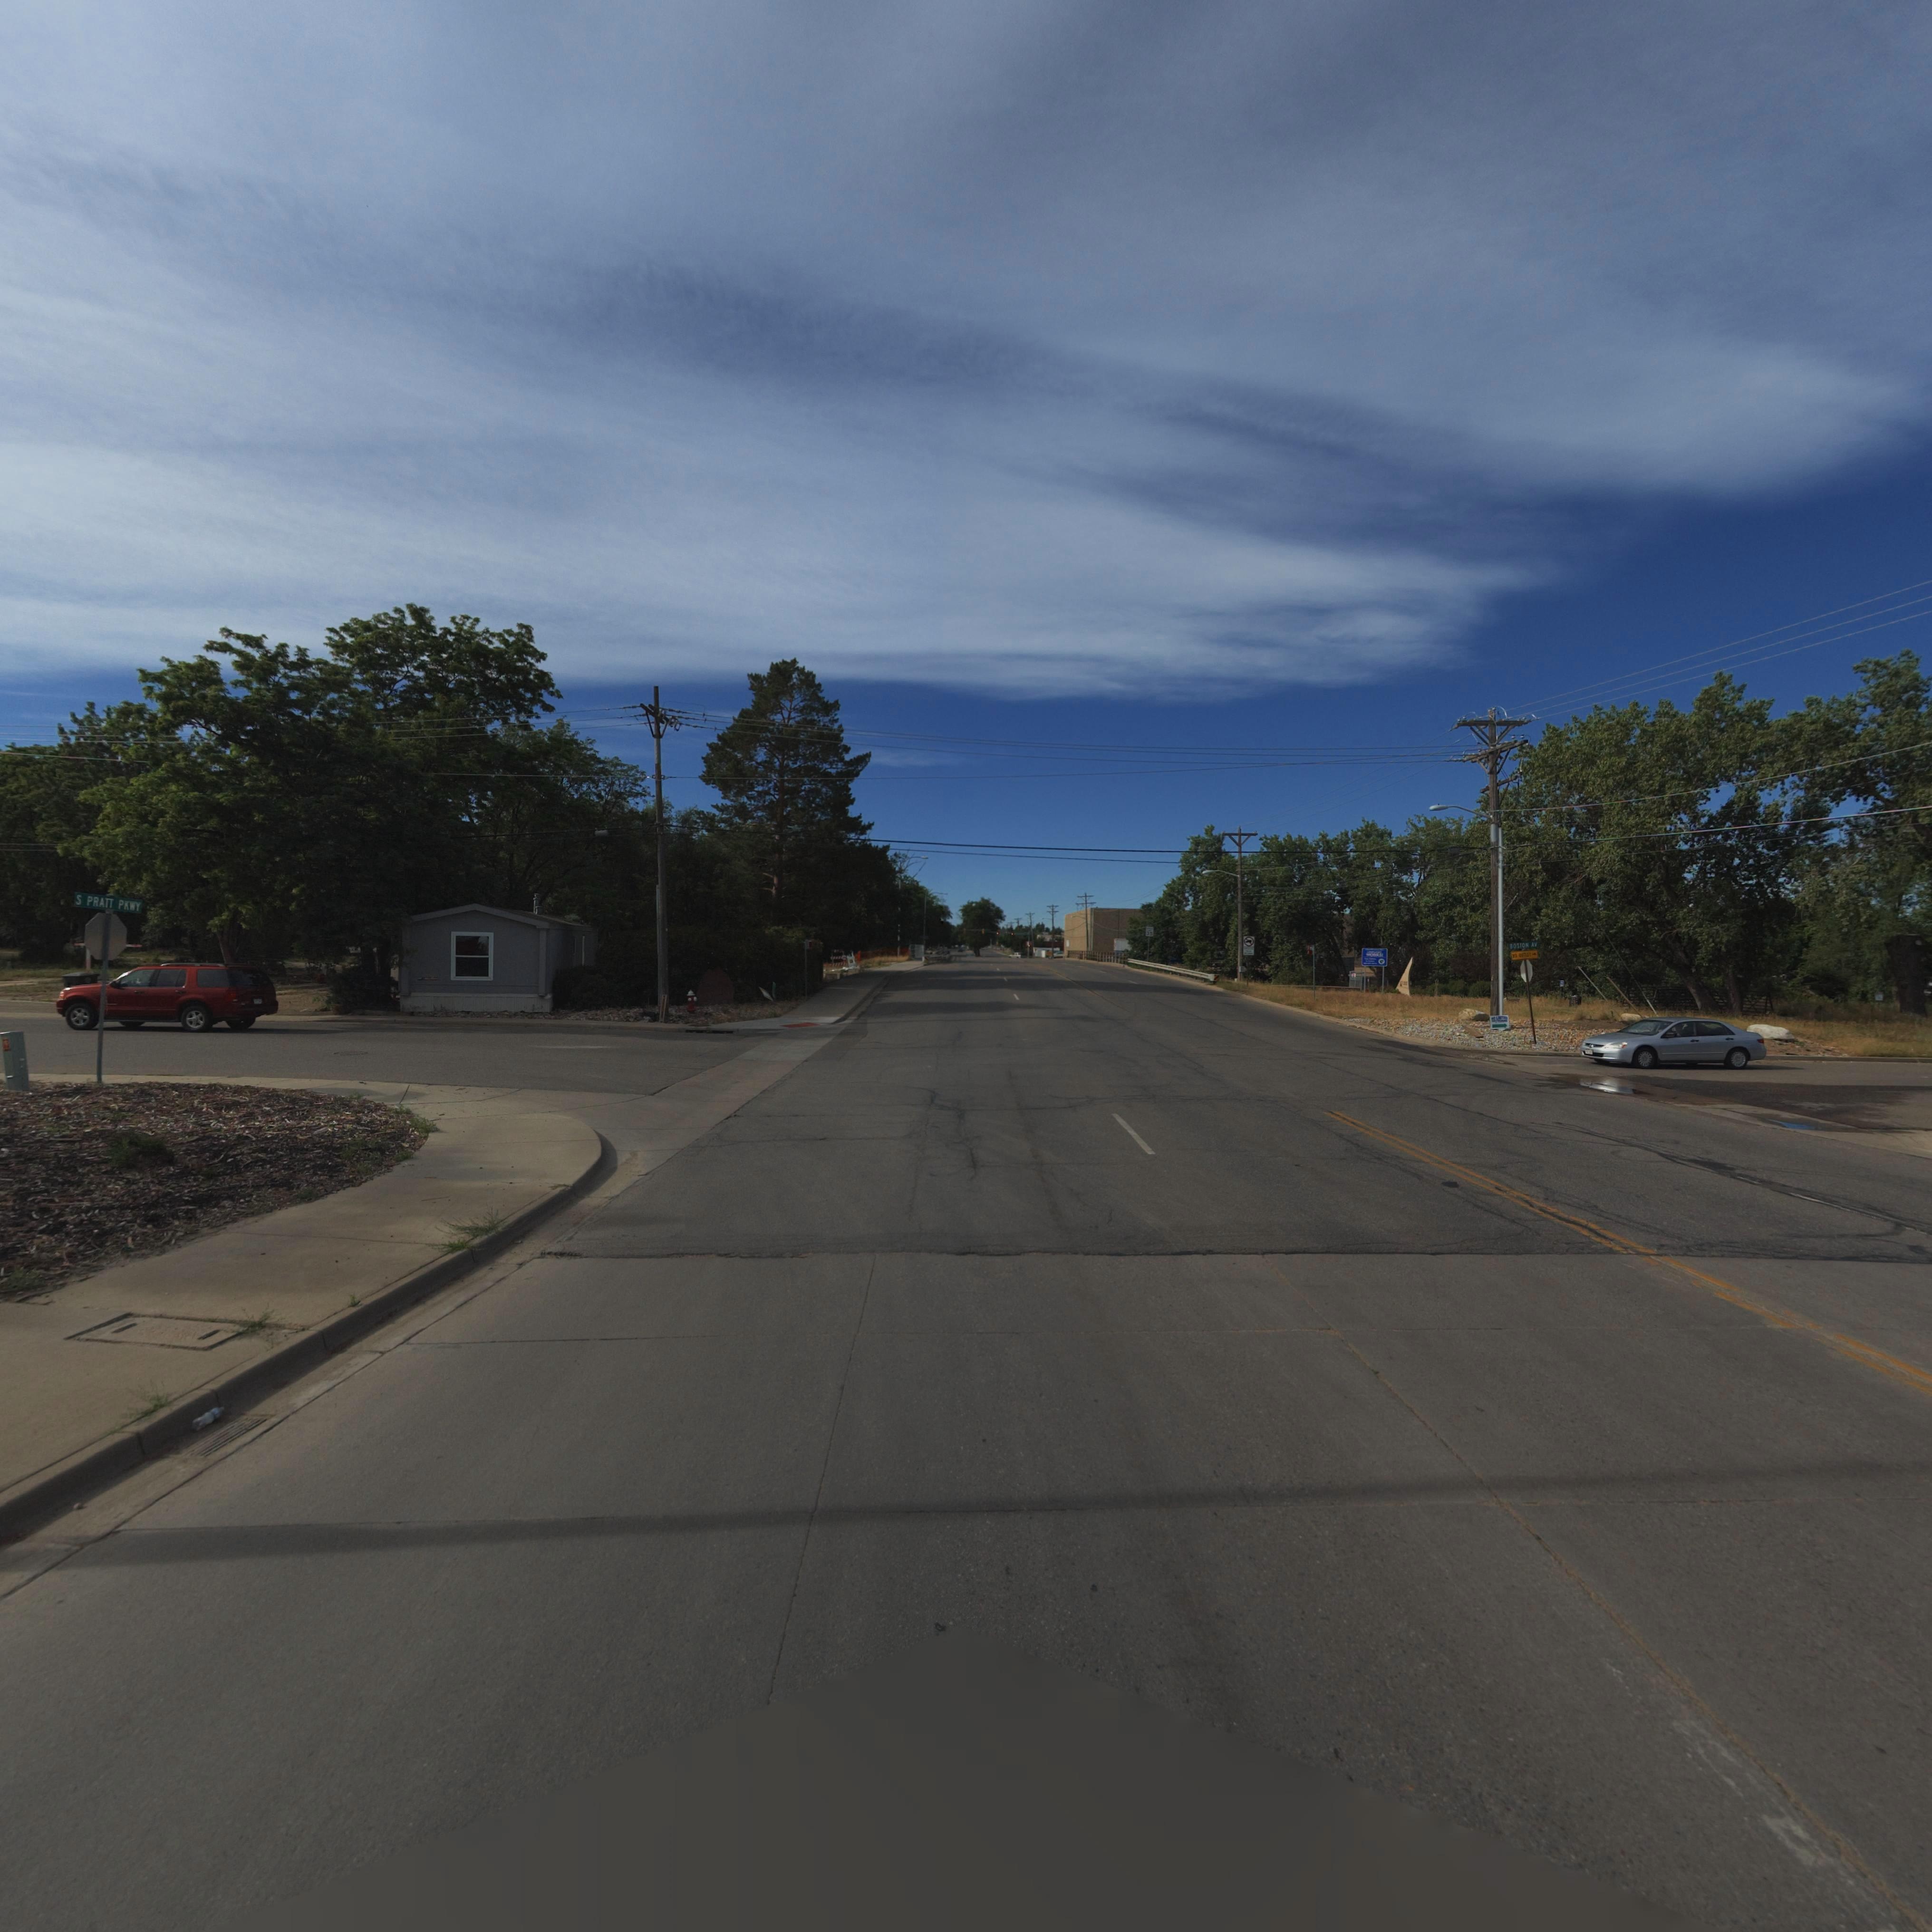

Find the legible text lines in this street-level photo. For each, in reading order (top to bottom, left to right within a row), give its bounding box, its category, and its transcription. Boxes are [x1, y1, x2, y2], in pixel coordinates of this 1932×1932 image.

[76, 894, 142, 911] StreetName: S PRATT PKWY
[1509, 942, 1537, 949] StreetName: BOSTON AV